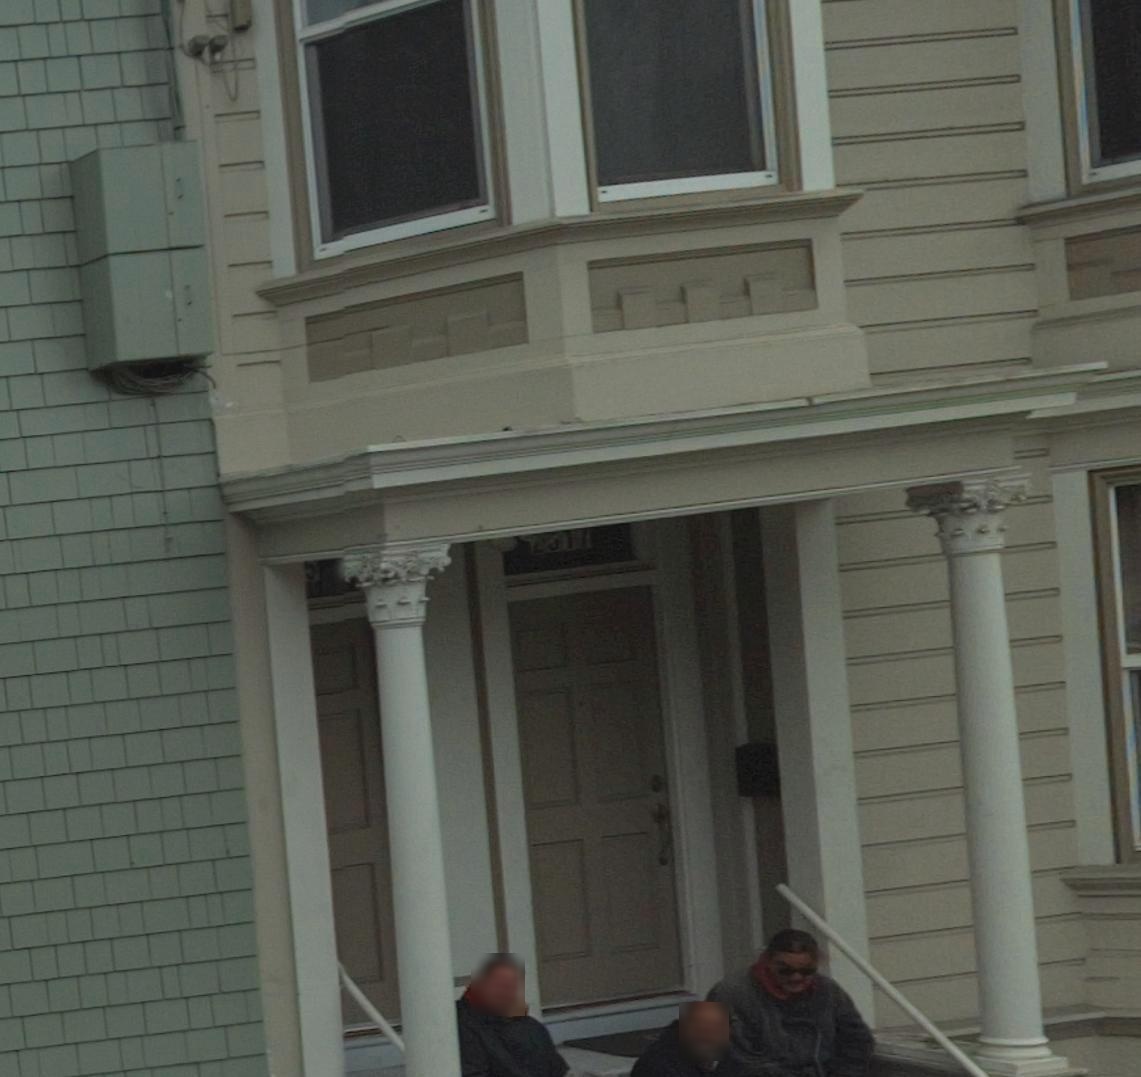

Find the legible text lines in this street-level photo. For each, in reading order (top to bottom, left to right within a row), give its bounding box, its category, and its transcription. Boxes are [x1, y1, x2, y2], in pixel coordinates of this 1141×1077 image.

[531, 526, 592, 556] StreetNumber: 2*17